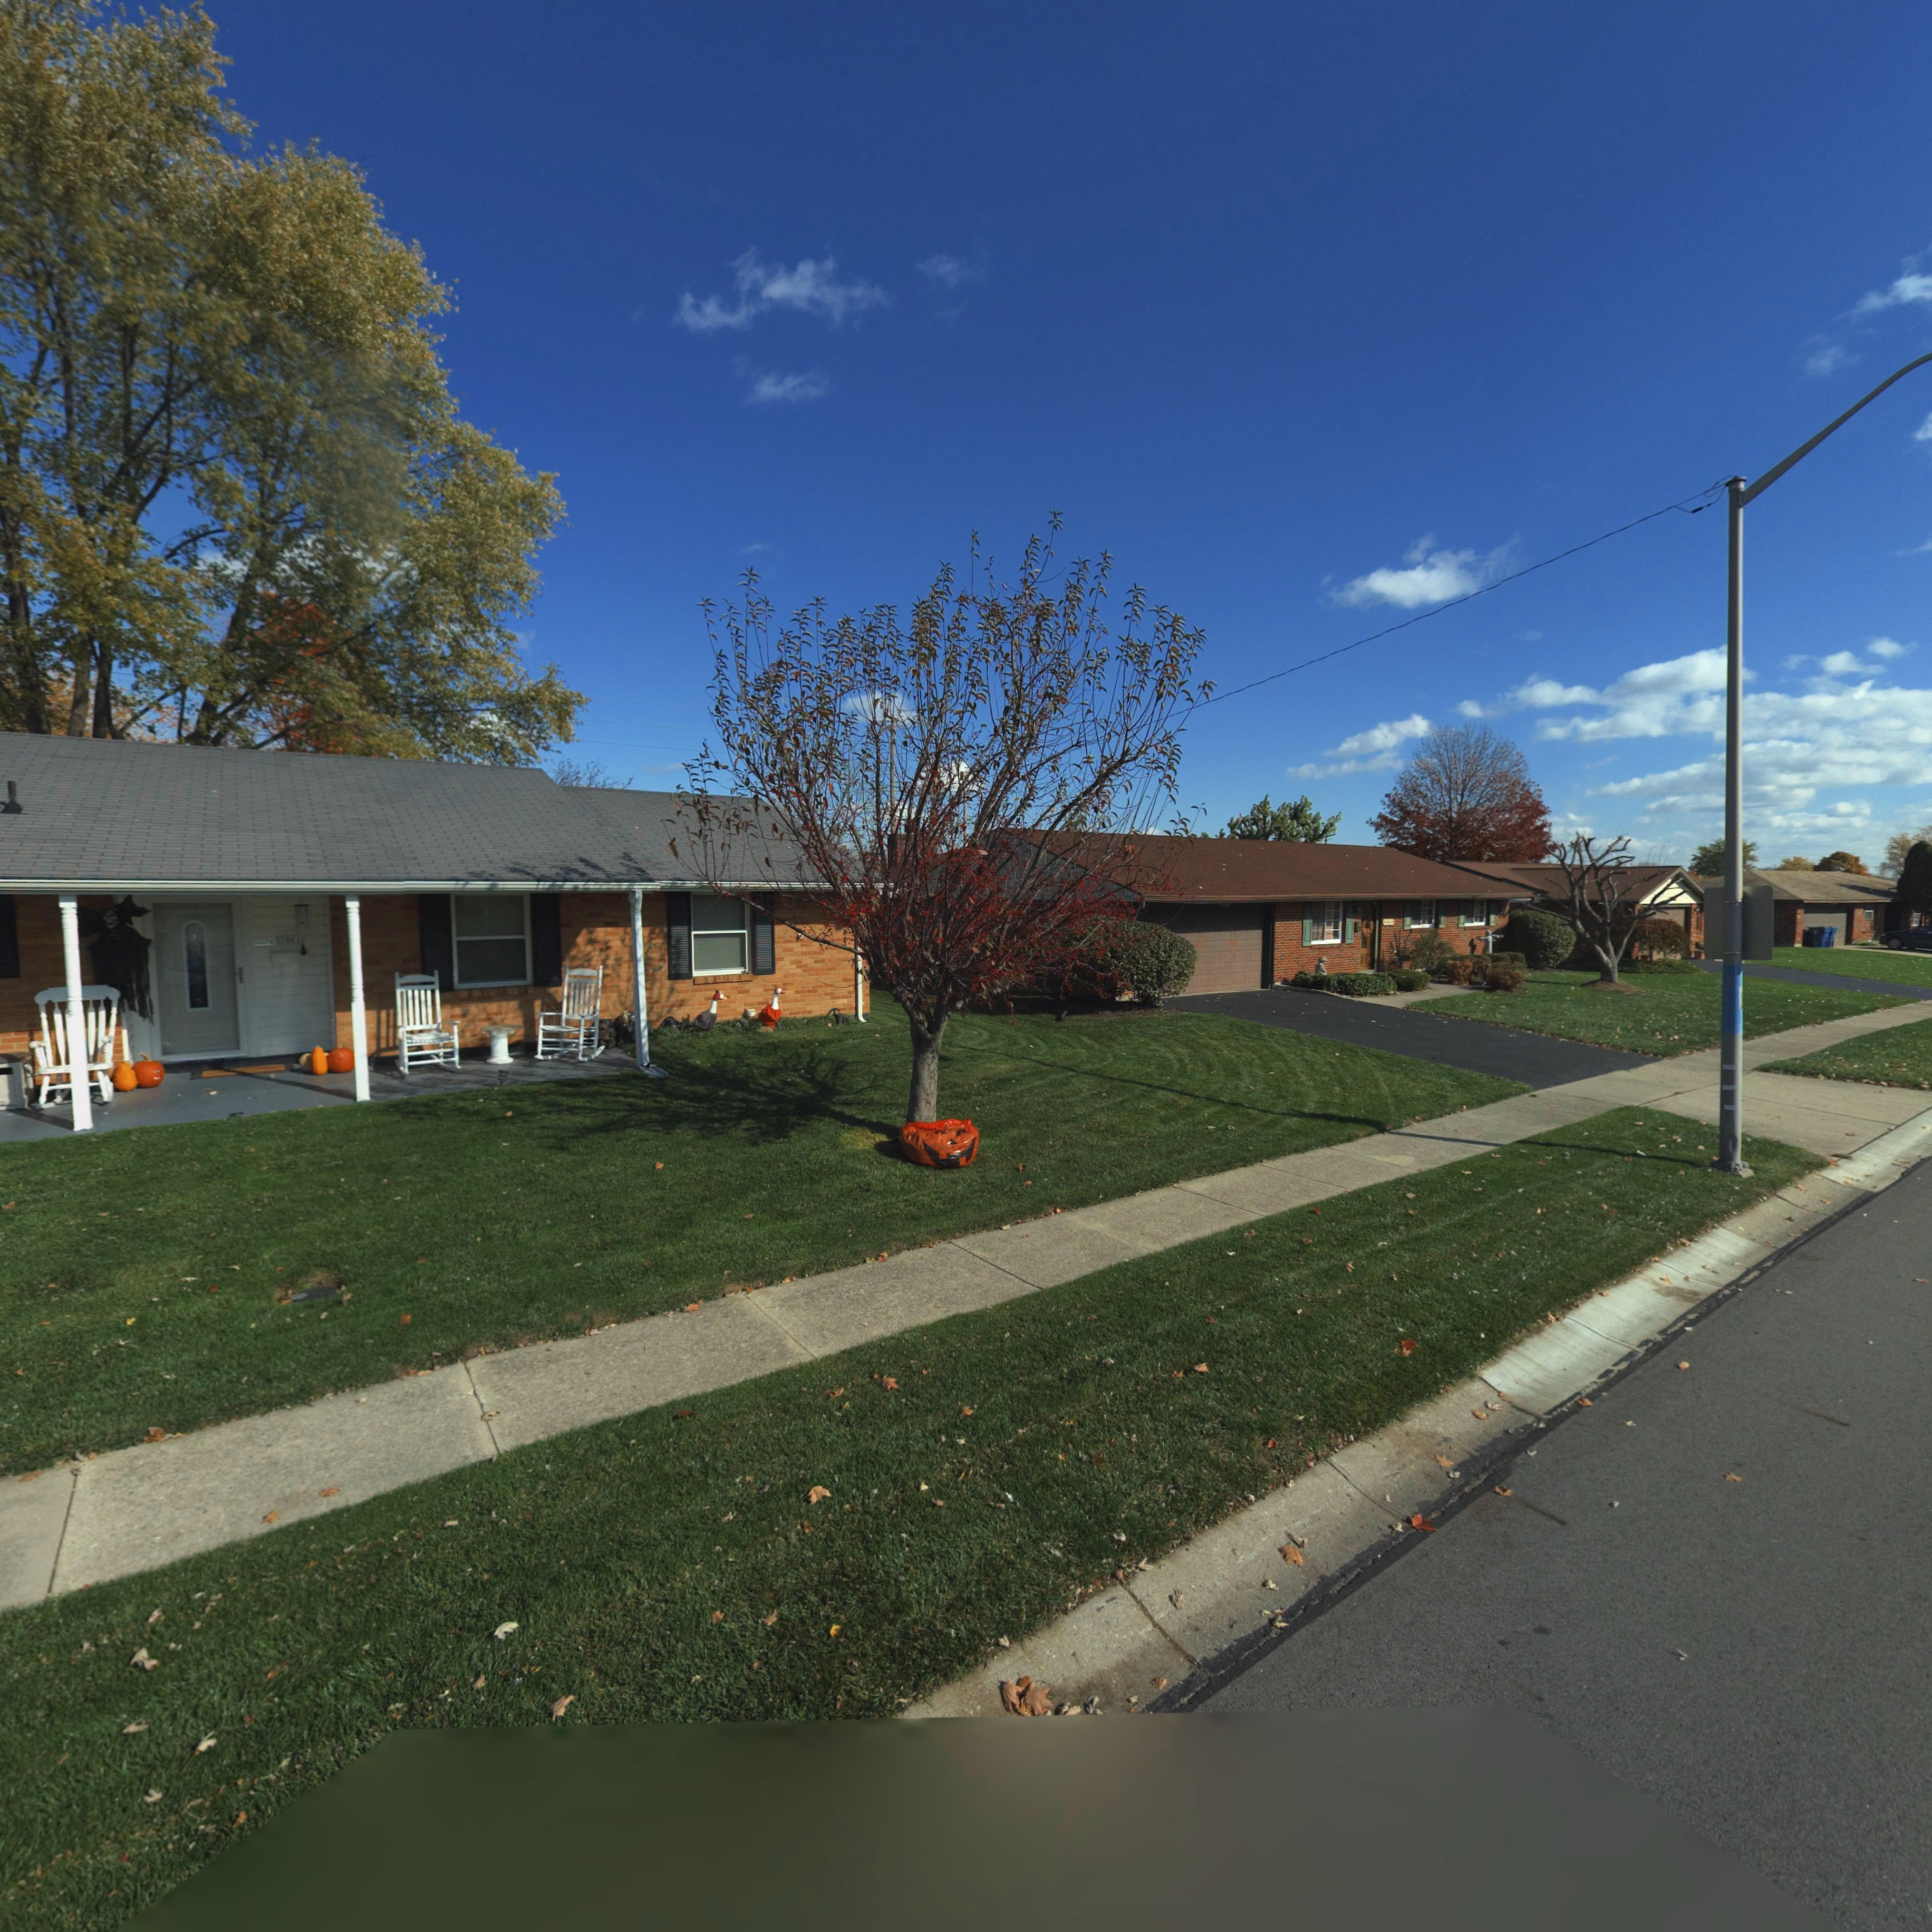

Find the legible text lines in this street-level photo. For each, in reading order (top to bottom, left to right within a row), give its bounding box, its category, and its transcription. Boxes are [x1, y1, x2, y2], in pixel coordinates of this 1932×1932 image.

[275, 935, 297, 946] StreetNumber: *7**